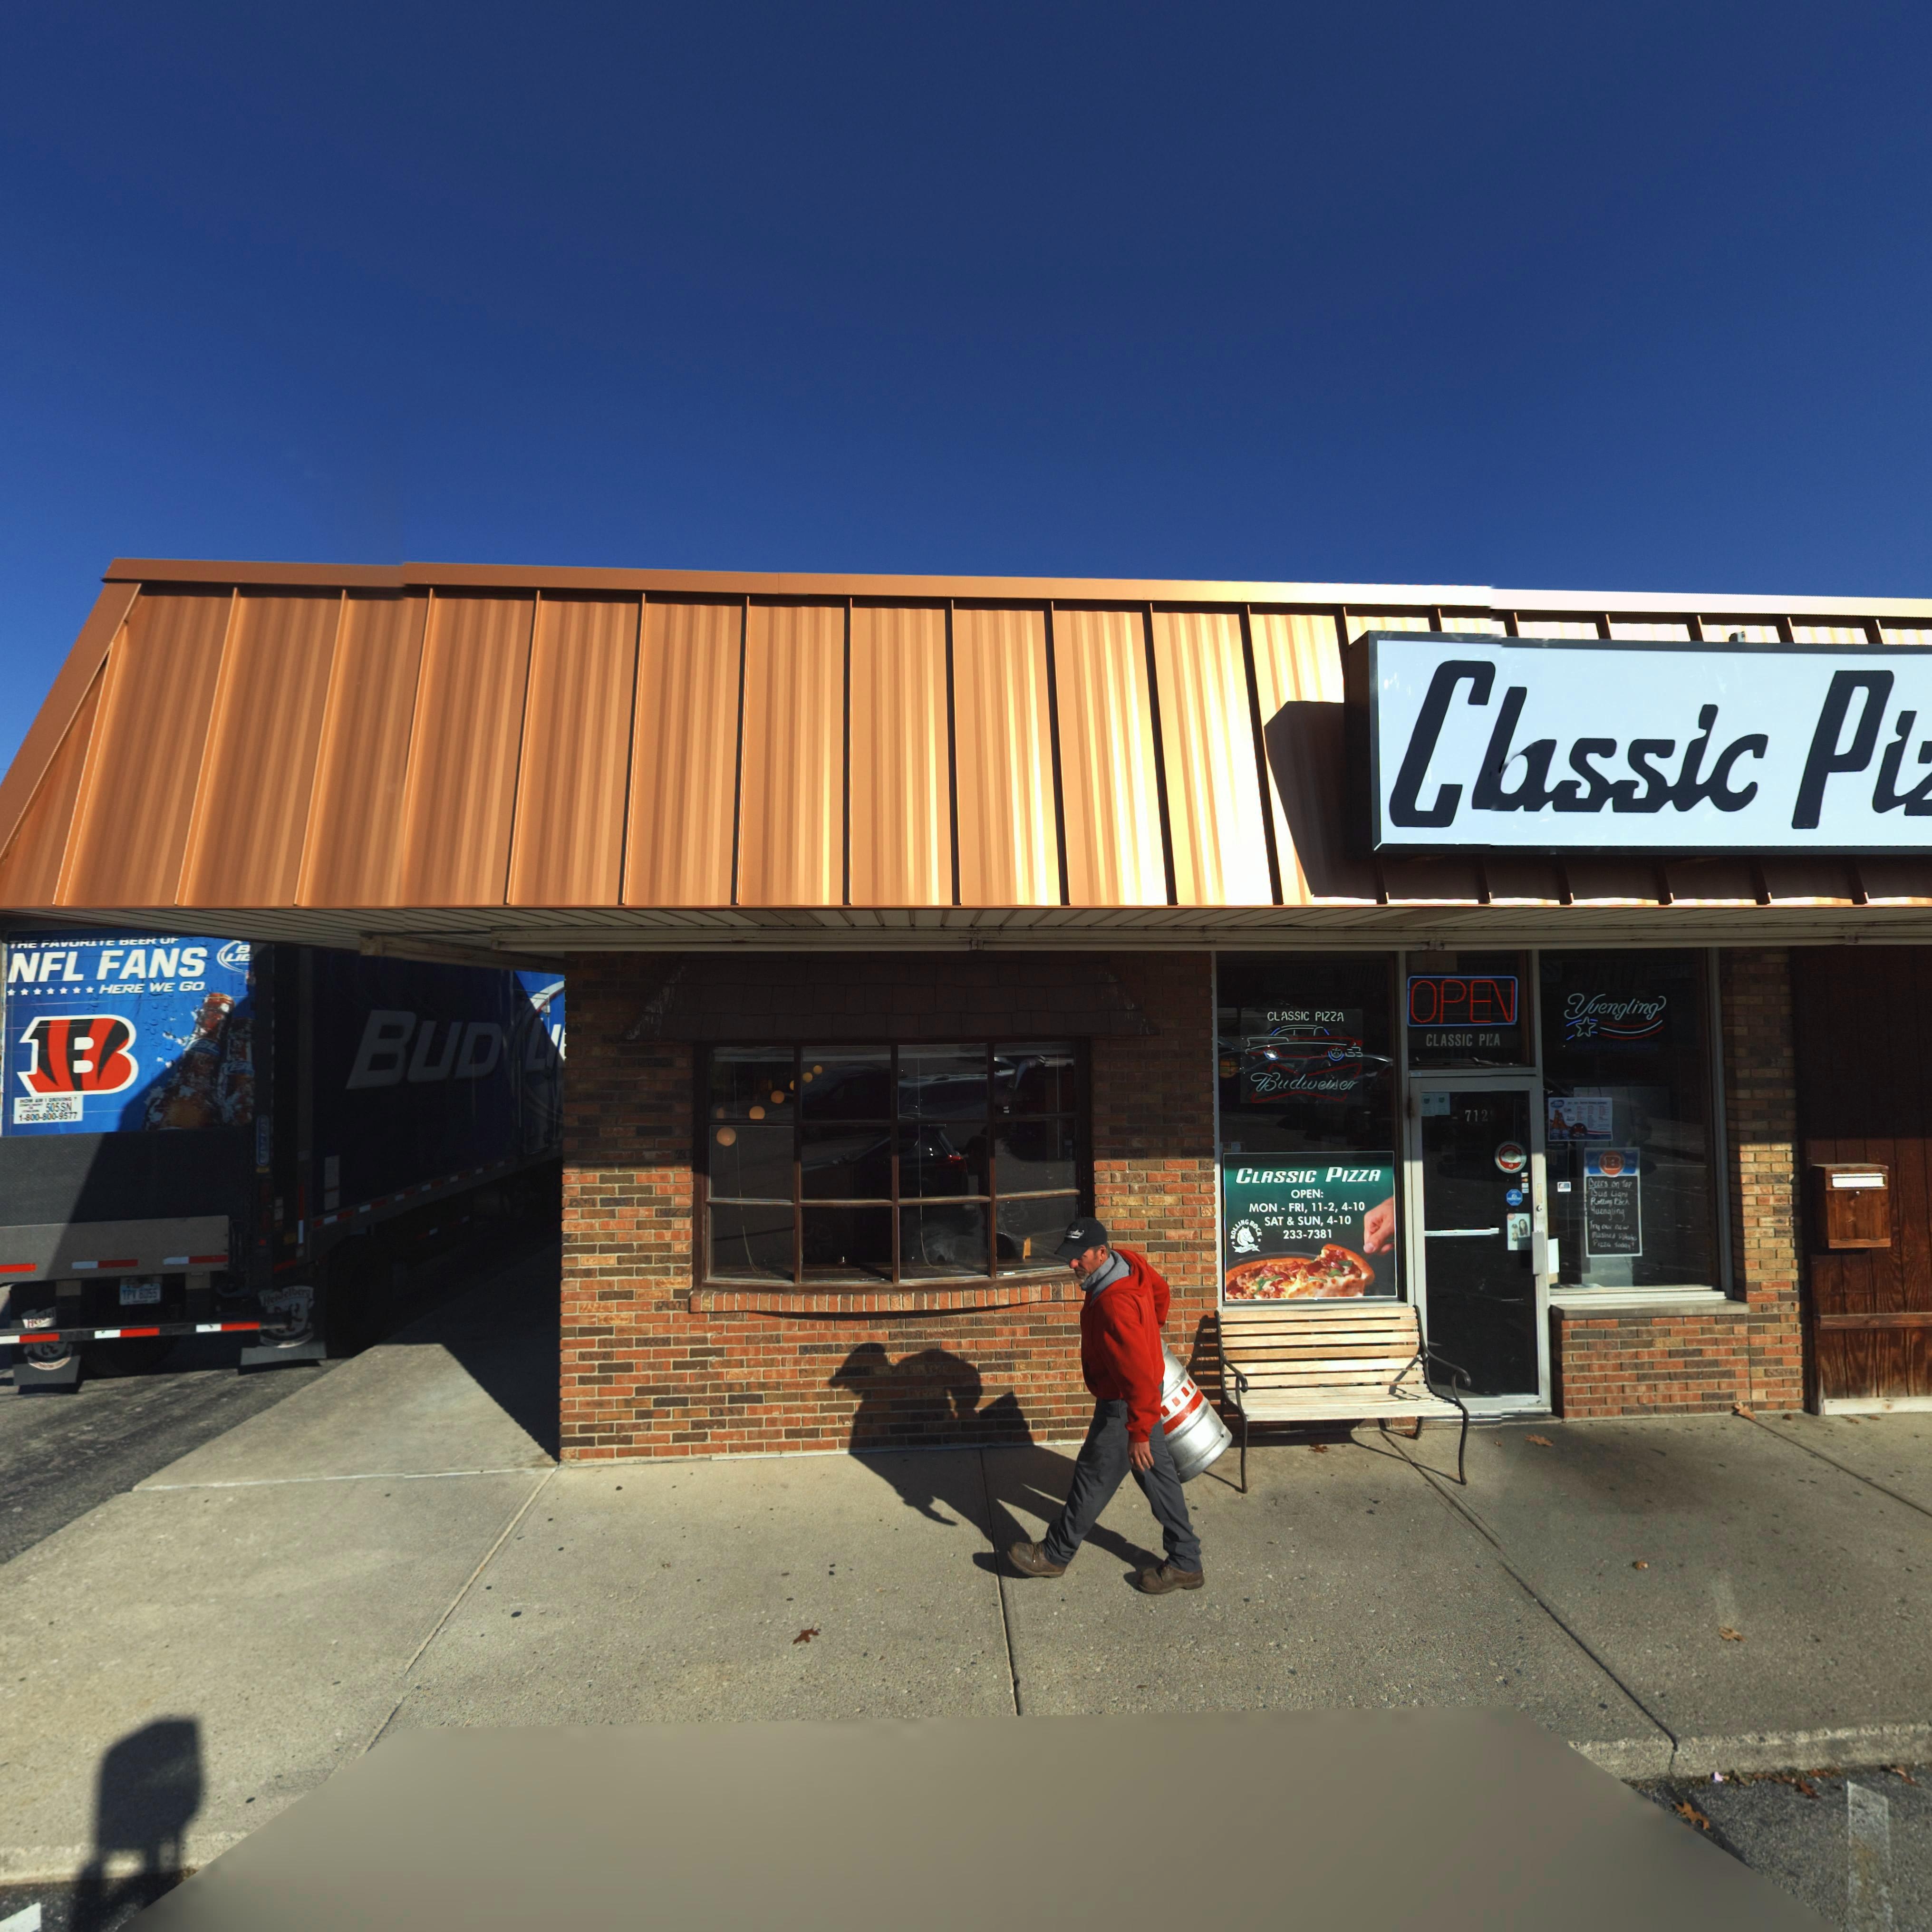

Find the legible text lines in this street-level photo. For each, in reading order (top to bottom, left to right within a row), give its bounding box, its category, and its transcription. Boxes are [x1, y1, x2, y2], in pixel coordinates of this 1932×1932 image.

[1387, 657, 1920, 832] BusinessName: C*ssic Pi
[1266, 1011, 1345, 1023] BusinessName: CLASSIC PIZZA
[1425, 1033, 1501, 1047] BusinessName: CLASSIC PI*A
[1464, 1109, 1488, 1122] StreetNumber: 712
[1234, 1165, 1382, 1185] BusinessName: CLASSIC PIZZA